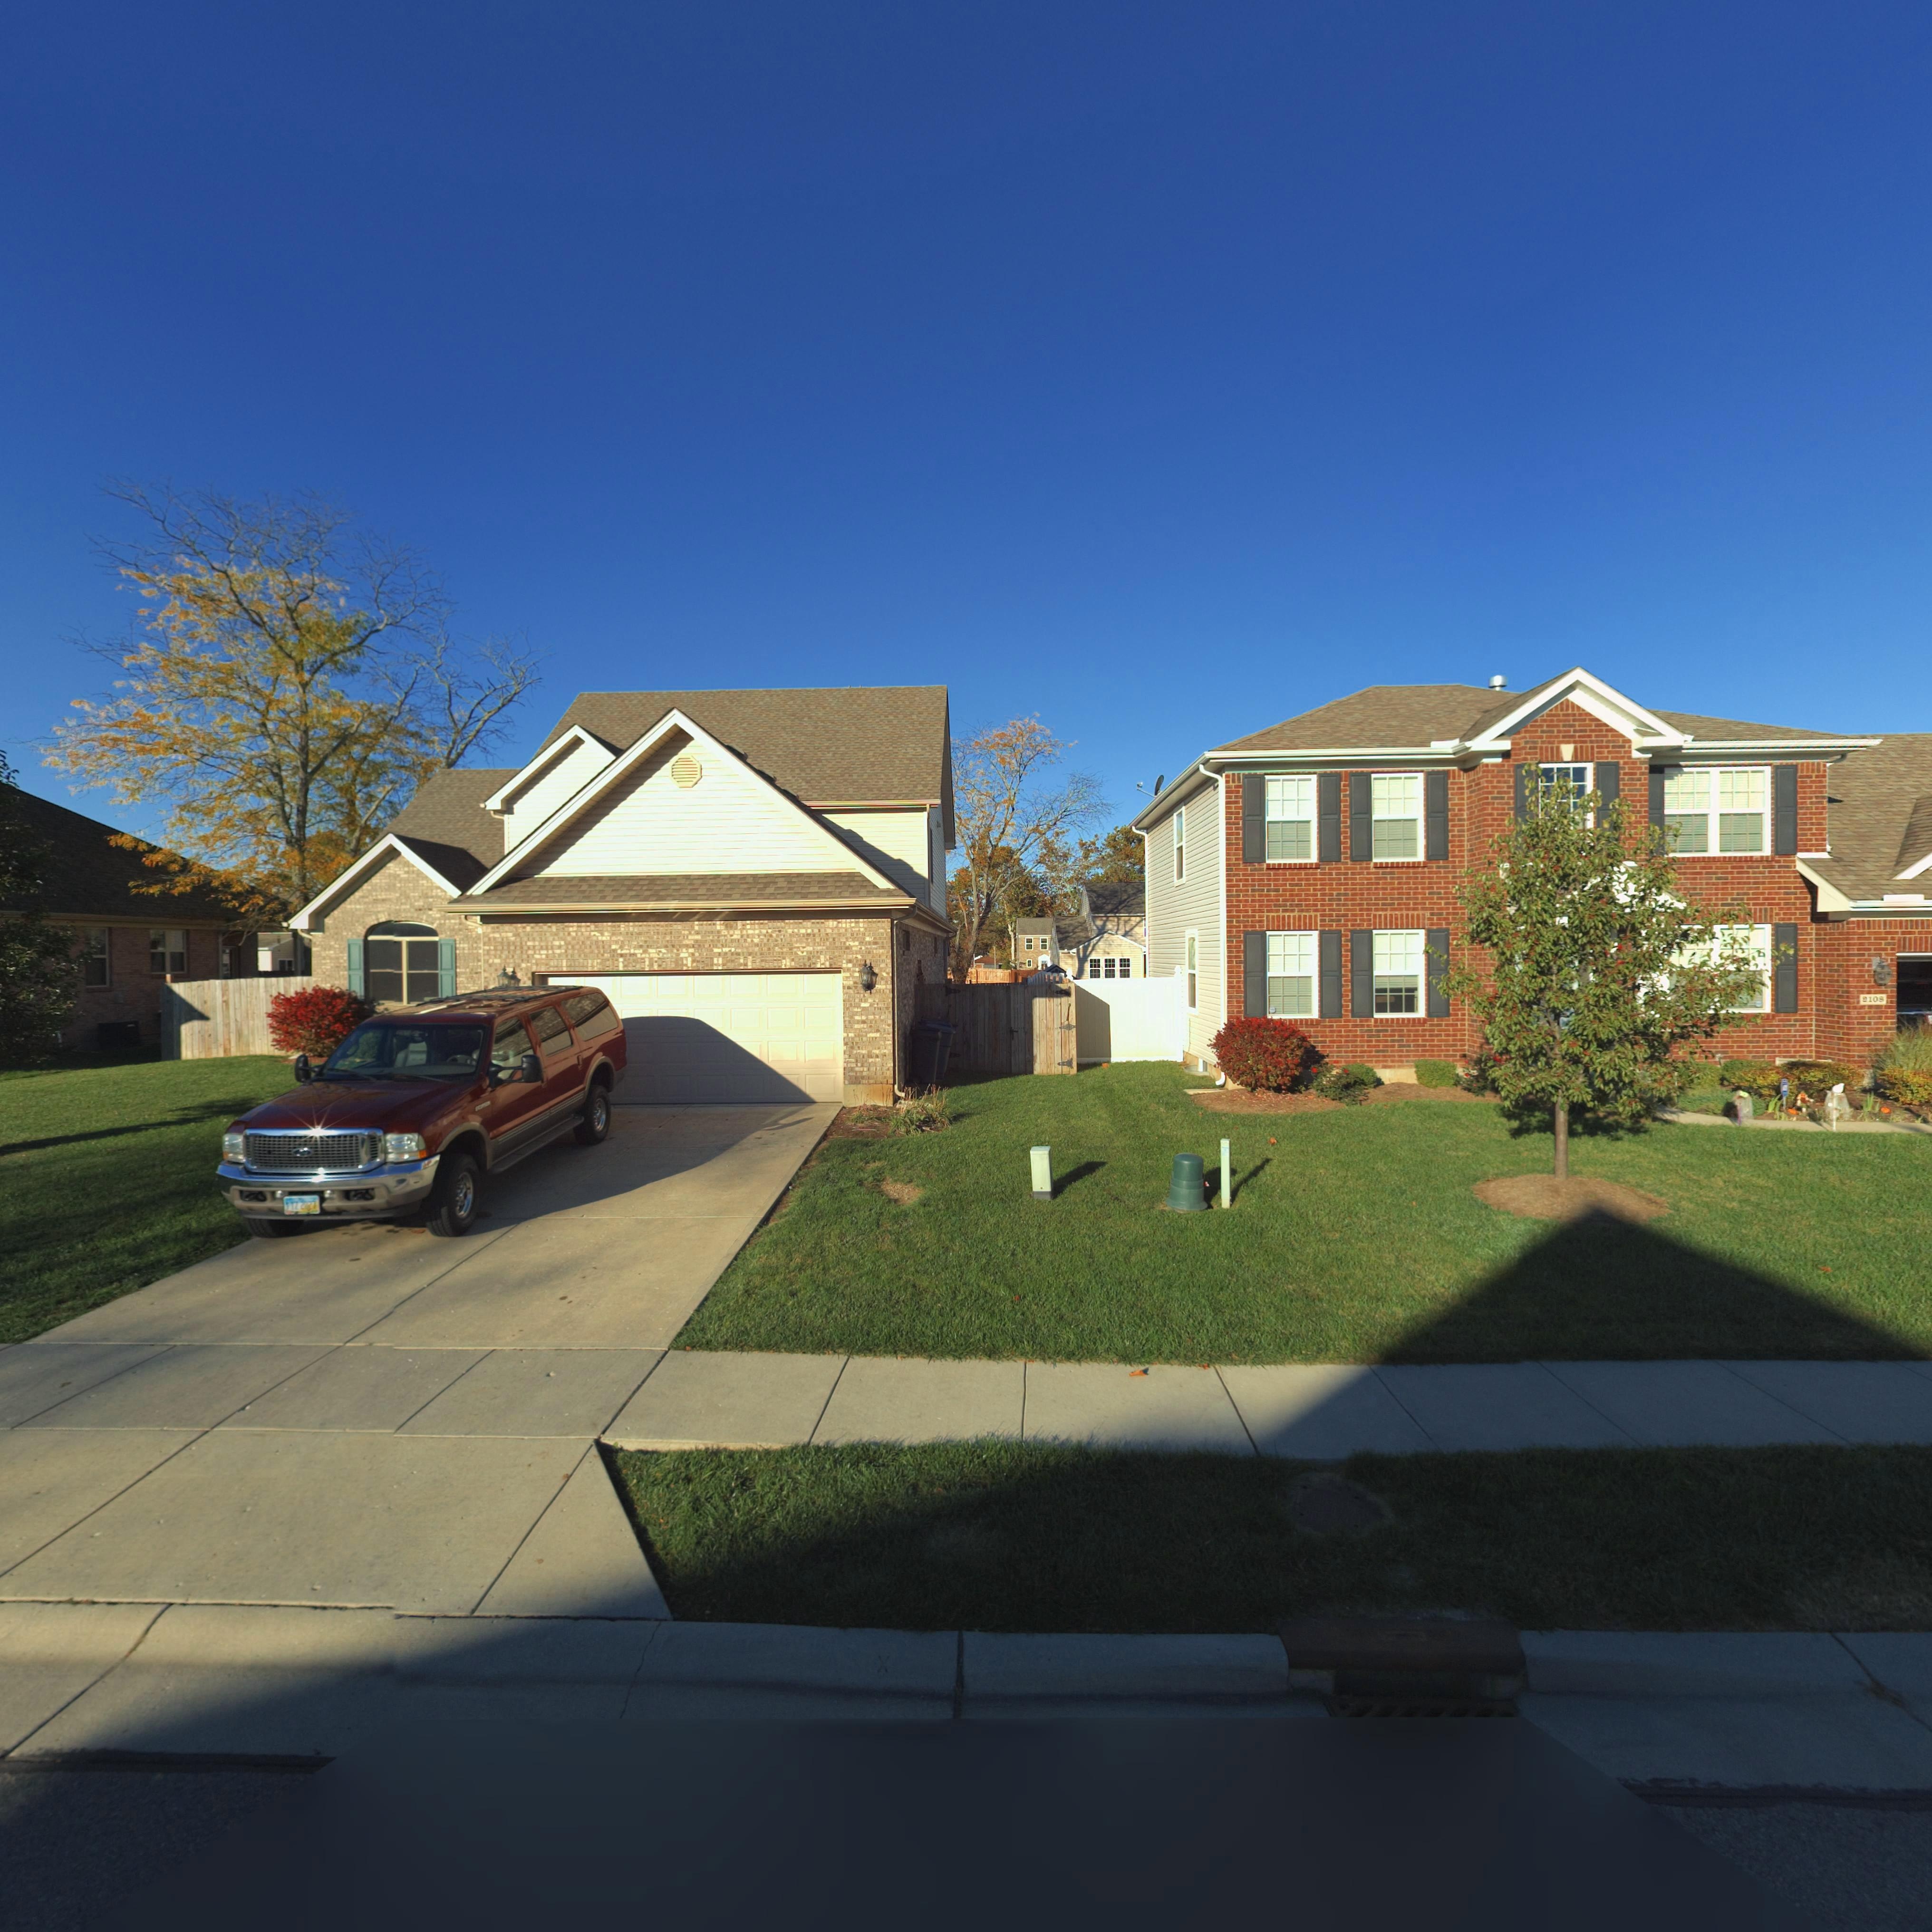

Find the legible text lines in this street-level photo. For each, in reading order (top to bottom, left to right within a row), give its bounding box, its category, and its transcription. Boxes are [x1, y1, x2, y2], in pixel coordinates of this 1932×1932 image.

[1861, 995, 1885, 1003] StreetNumber: 2108